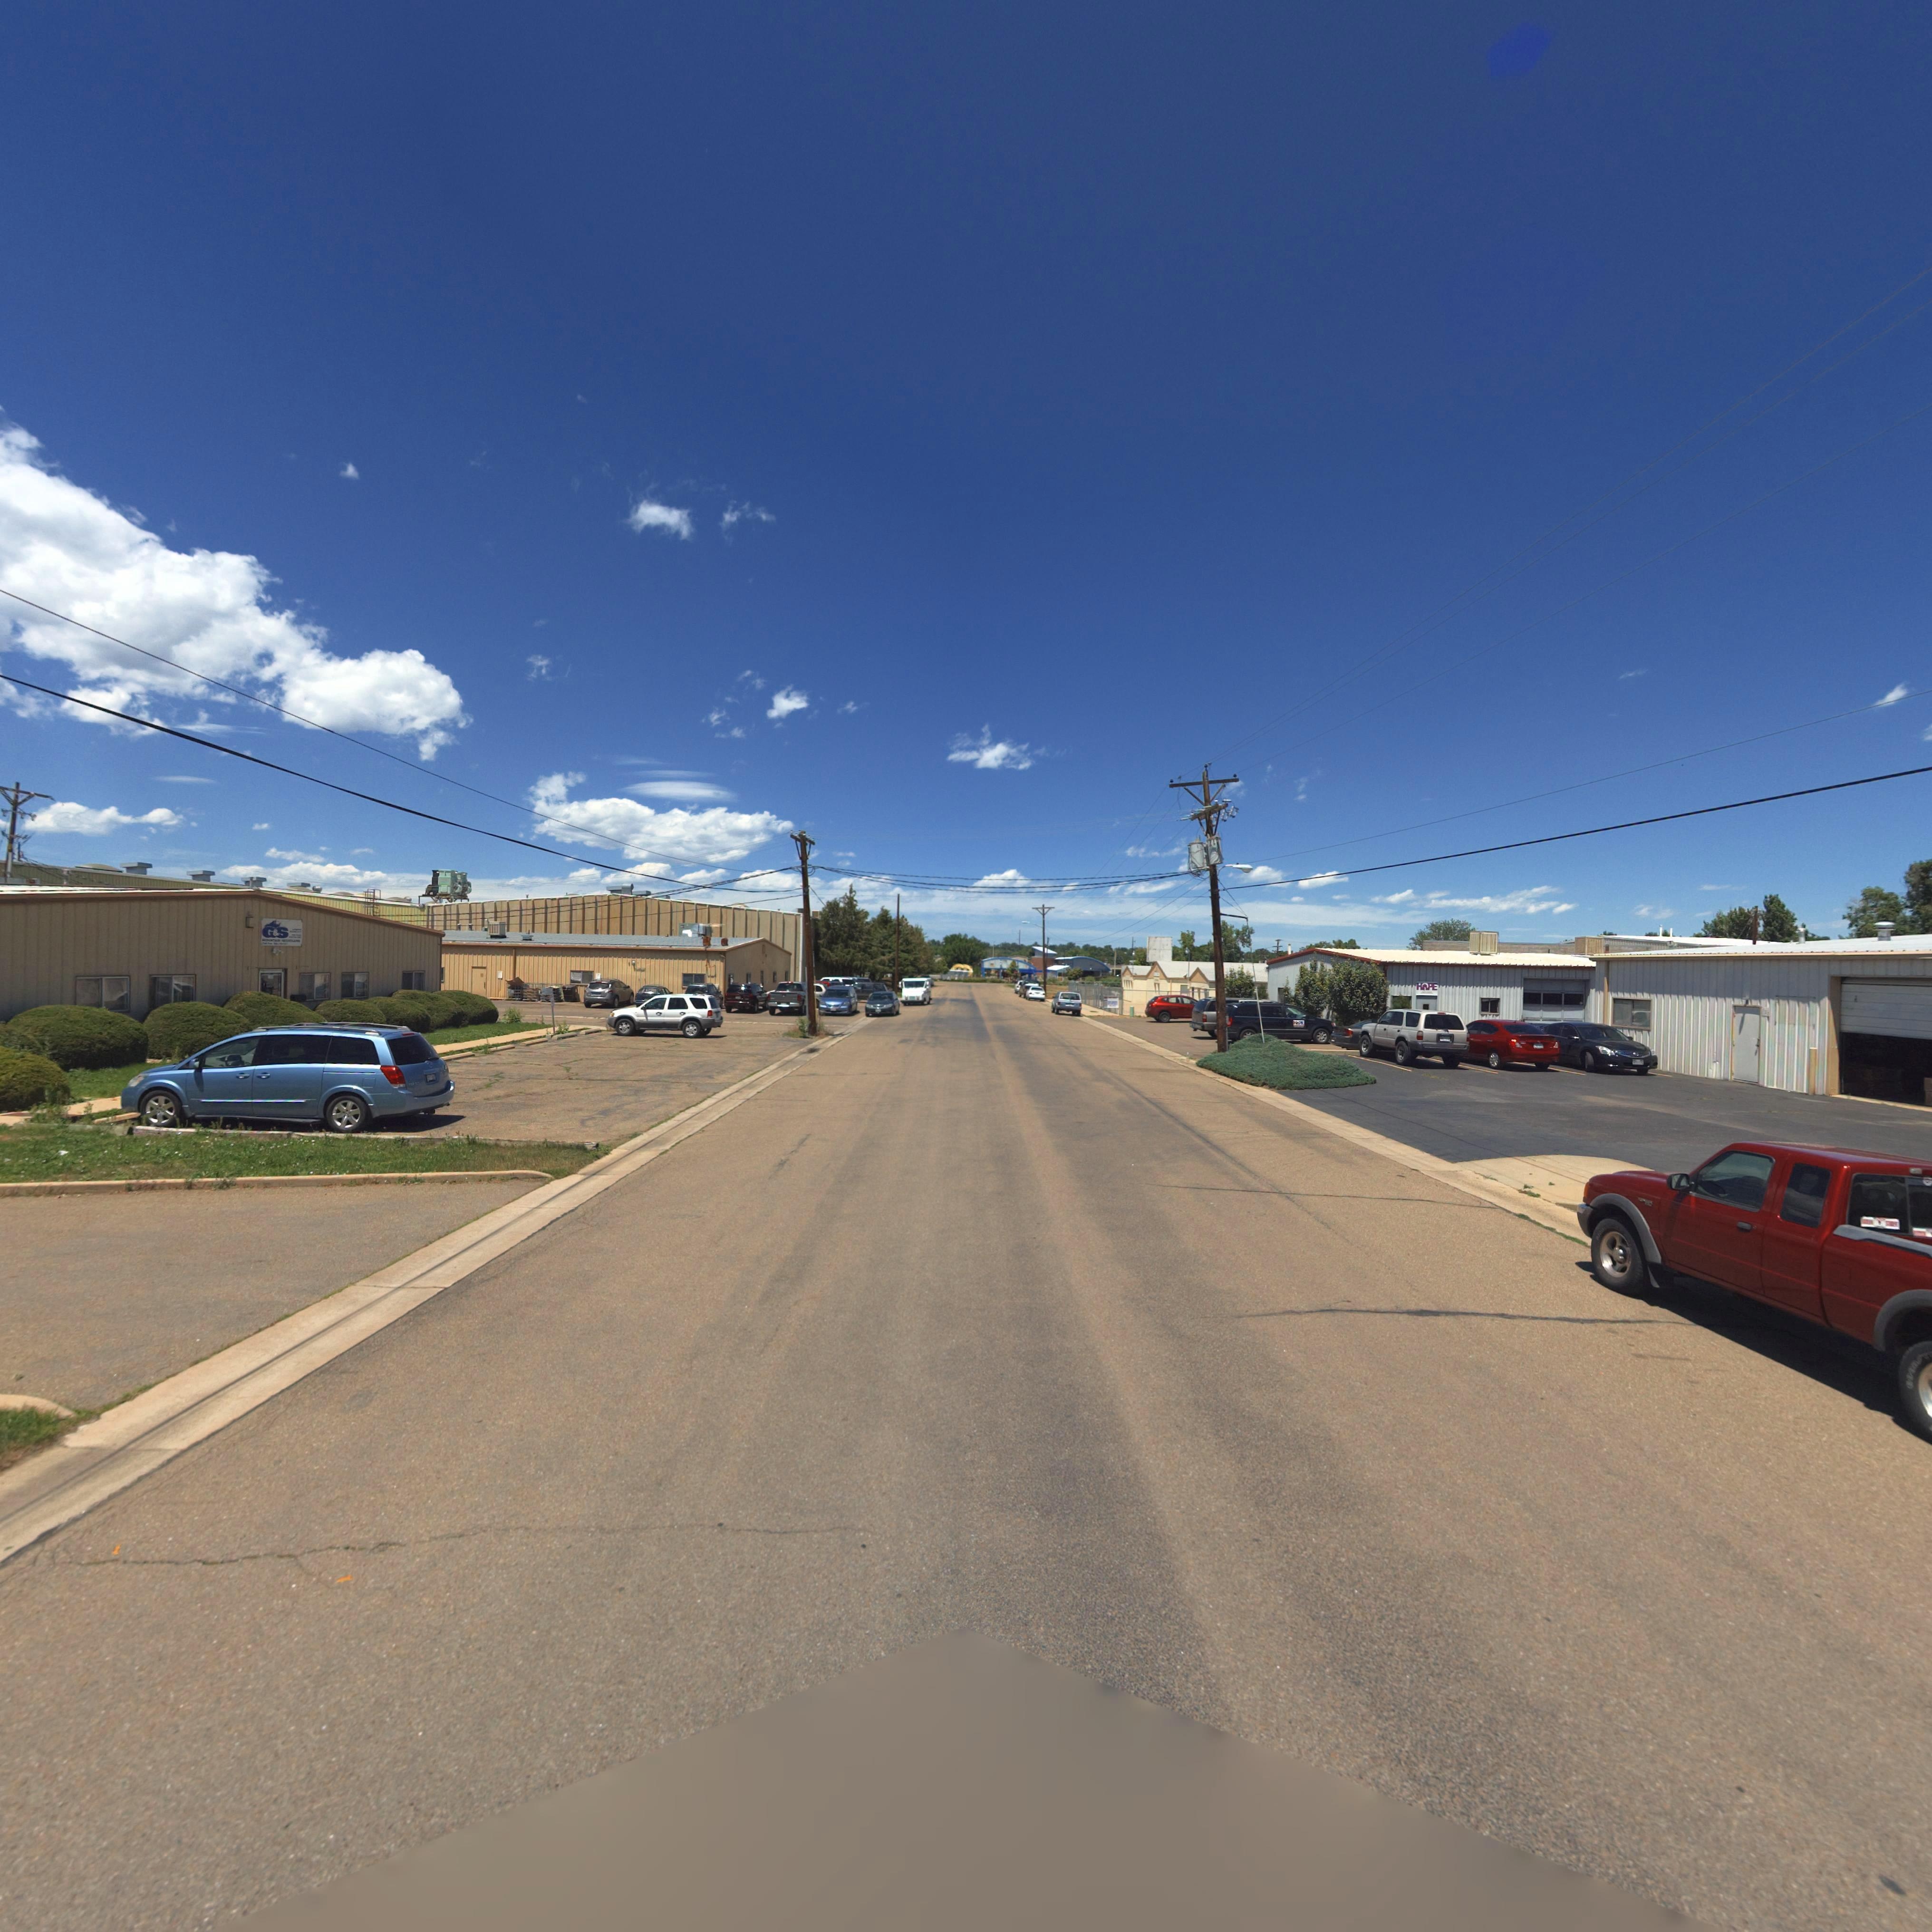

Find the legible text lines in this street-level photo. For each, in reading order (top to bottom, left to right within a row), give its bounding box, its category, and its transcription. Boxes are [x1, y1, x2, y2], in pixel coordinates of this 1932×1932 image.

[261, 926, 289, 938] BusinessName: G&S
[1416, 982, 1438, 990] BusinessName: H*PE